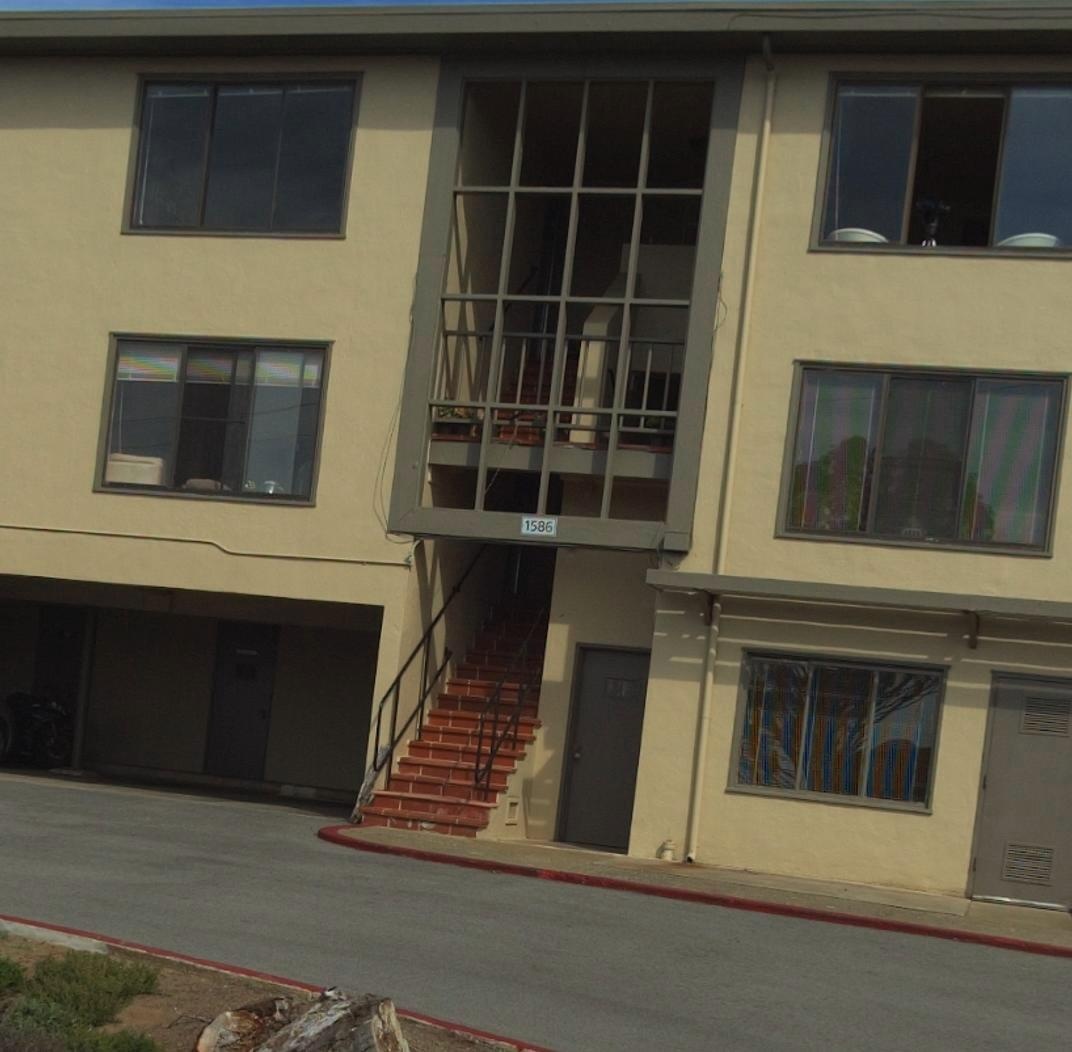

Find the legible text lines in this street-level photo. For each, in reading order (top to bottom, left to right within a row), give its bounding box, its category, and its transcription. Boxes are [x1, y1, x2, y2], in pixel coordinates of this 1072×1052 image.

[523, 518, 555, 535] StreetNumber: 1586